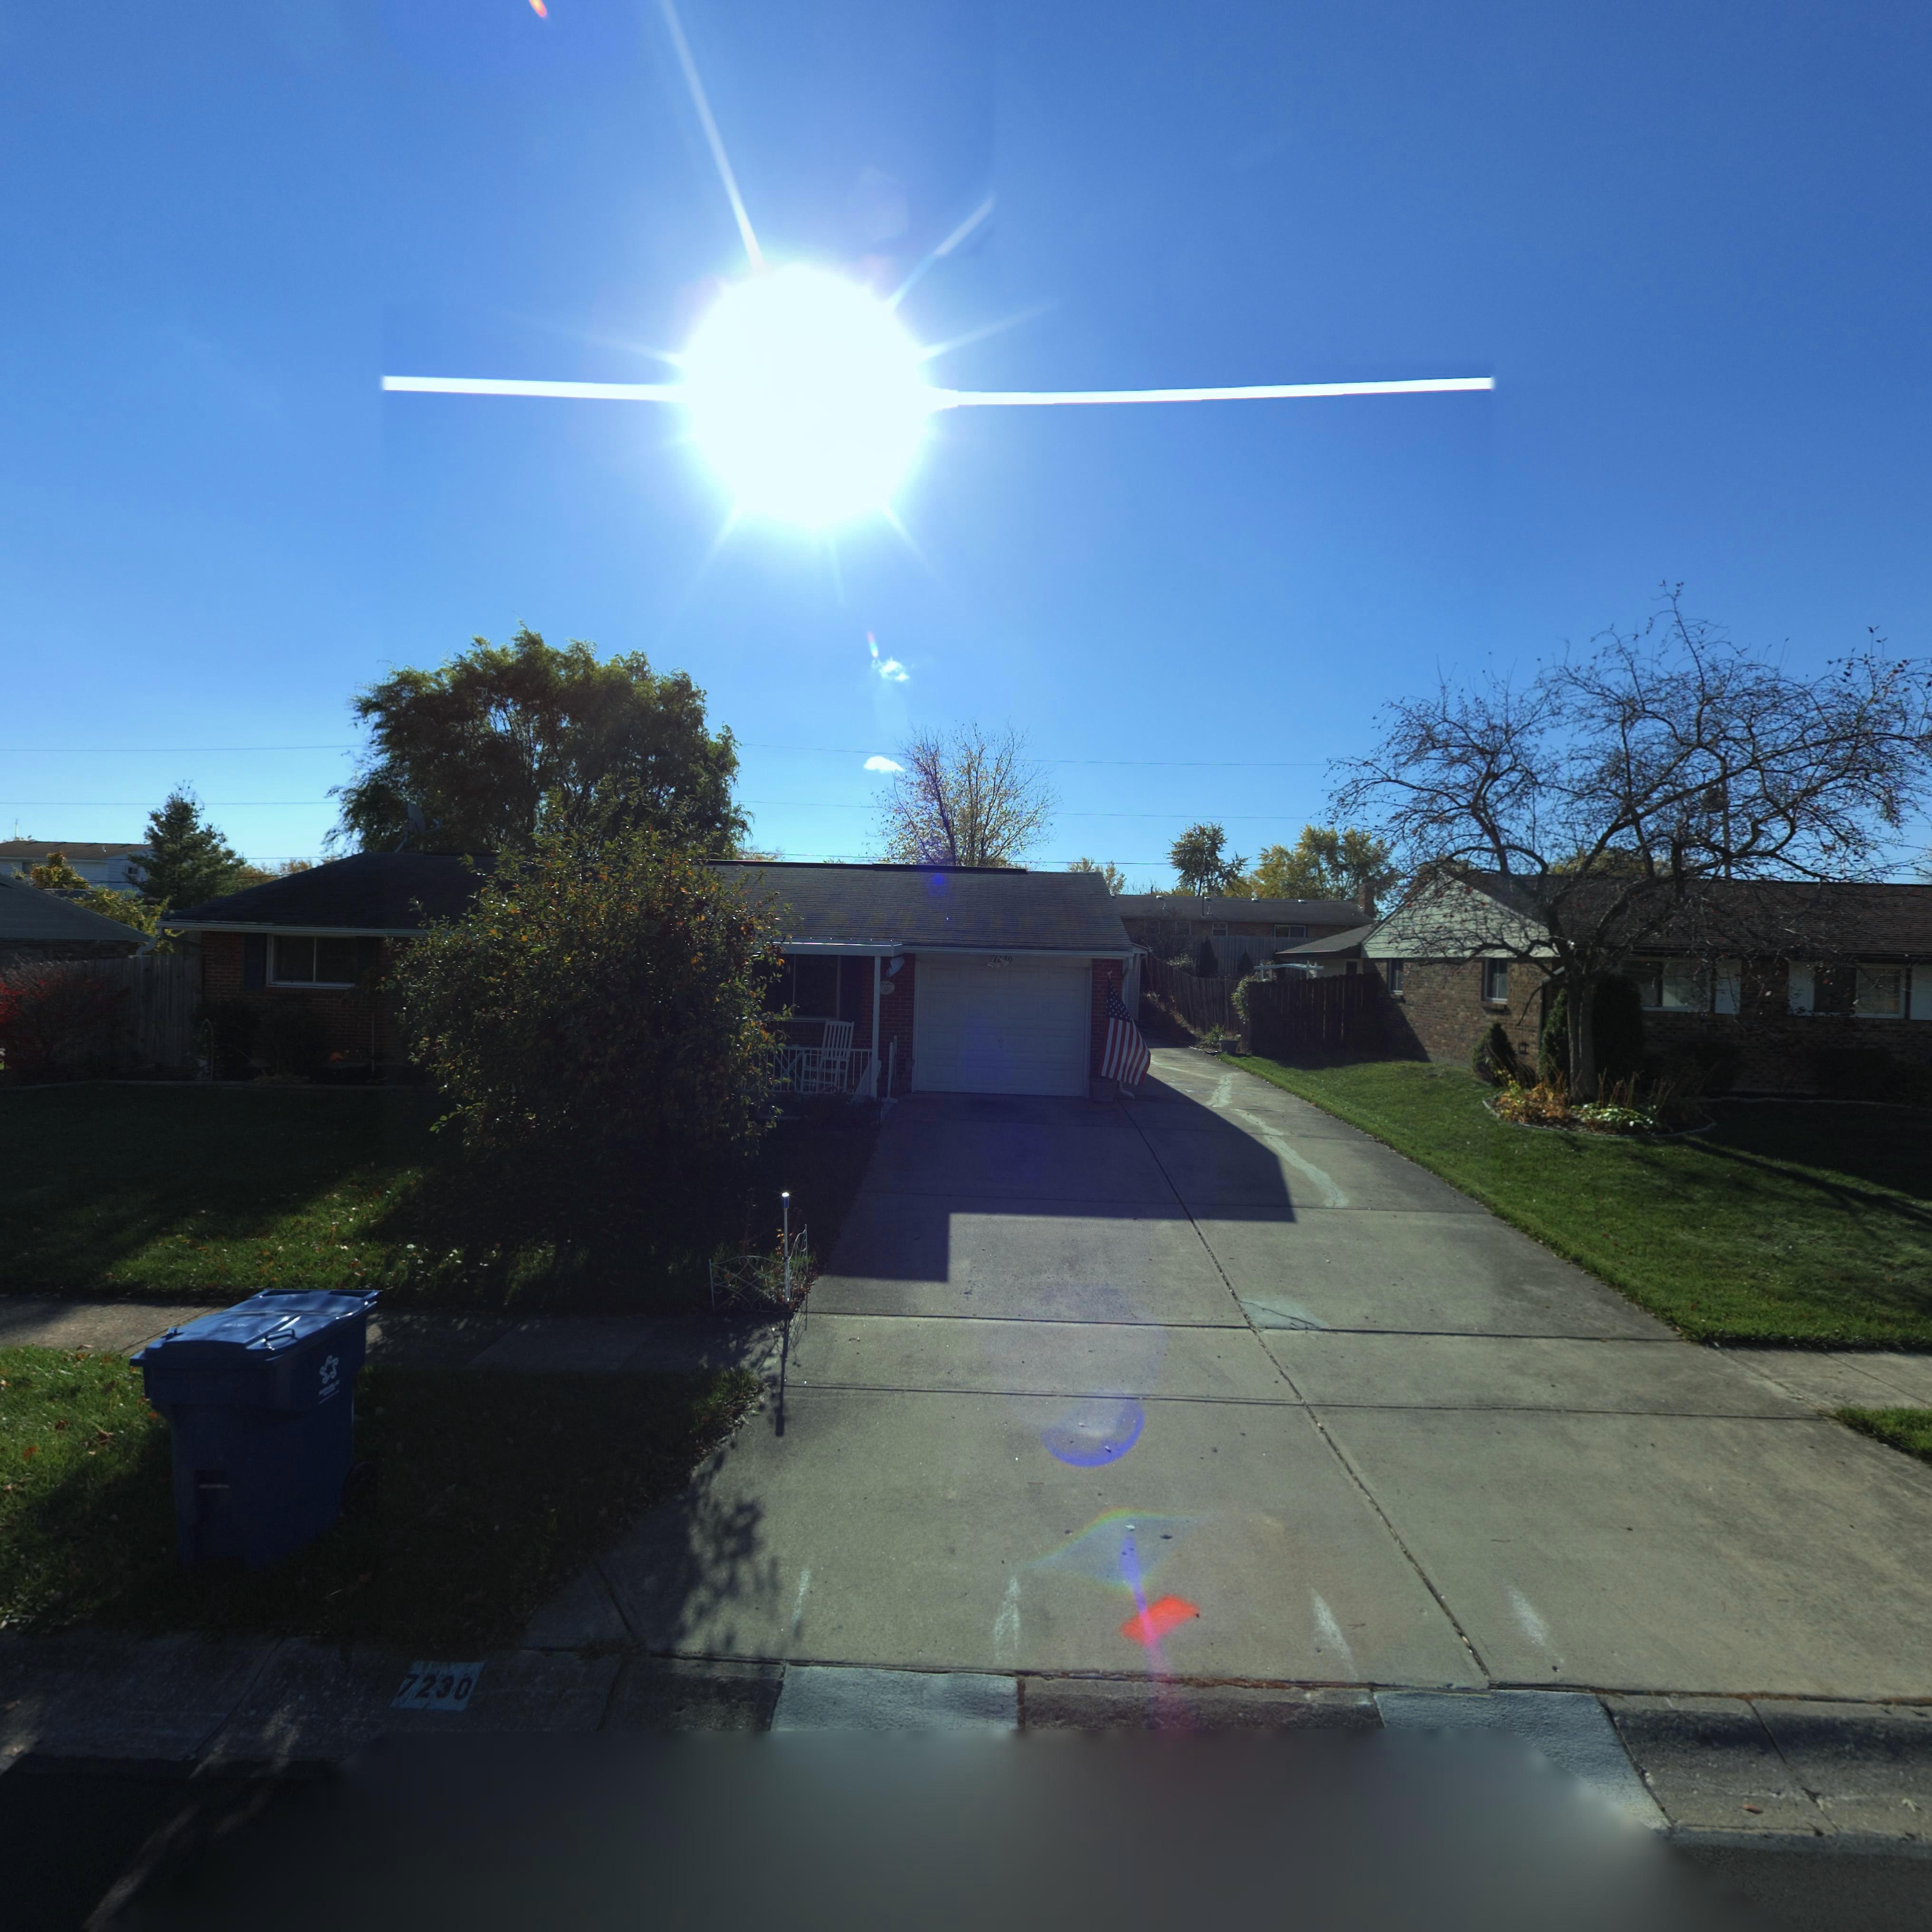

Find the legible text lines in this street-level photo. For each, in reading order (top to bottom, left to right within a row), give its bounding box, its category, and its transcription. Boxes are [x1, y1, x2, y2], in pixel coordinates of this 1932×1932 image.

[1007, 955, 1014, 964] StreetNumber: 0
[395, 1672, 475, 1701] StreetNumber: 7230